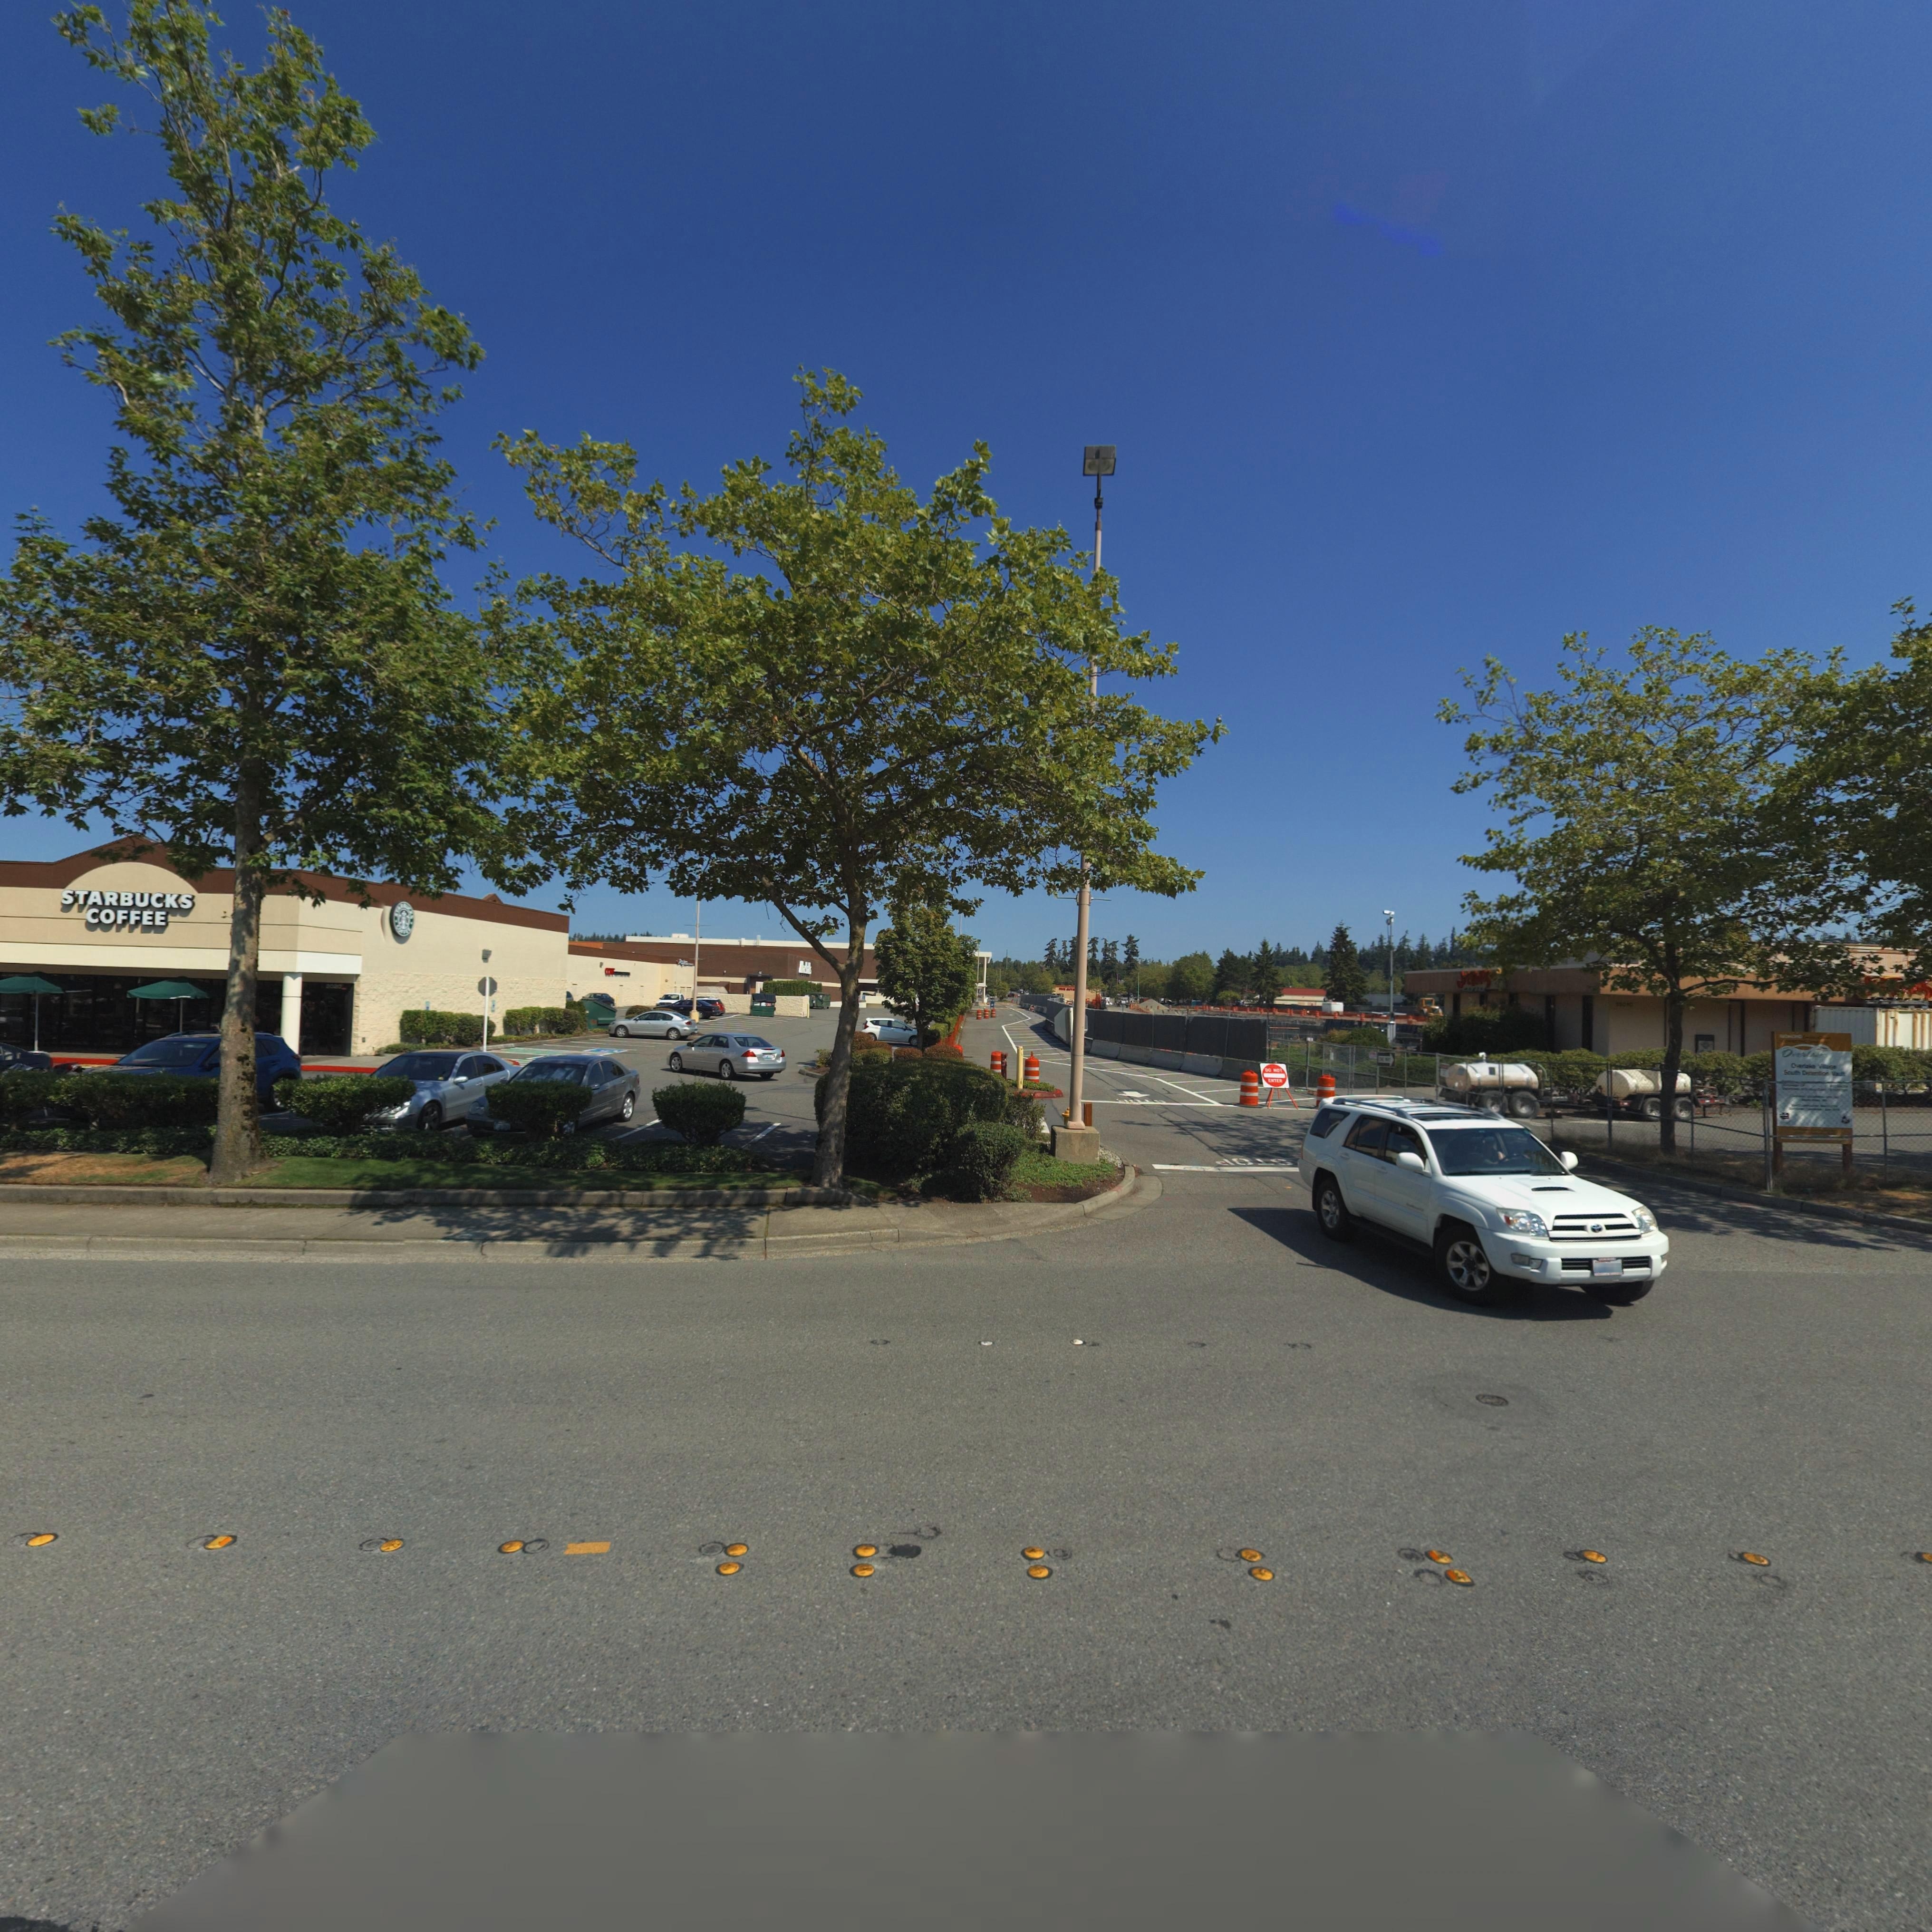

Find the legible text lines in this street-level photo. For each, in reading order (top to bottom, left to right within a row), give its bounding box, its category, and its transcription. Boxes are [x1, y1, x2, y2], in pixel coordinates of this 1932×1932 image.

[60, 889, 195, 909] BusinessName: STARBUCKS
[84, 907, 167, 927] BusinessName: COFFEE